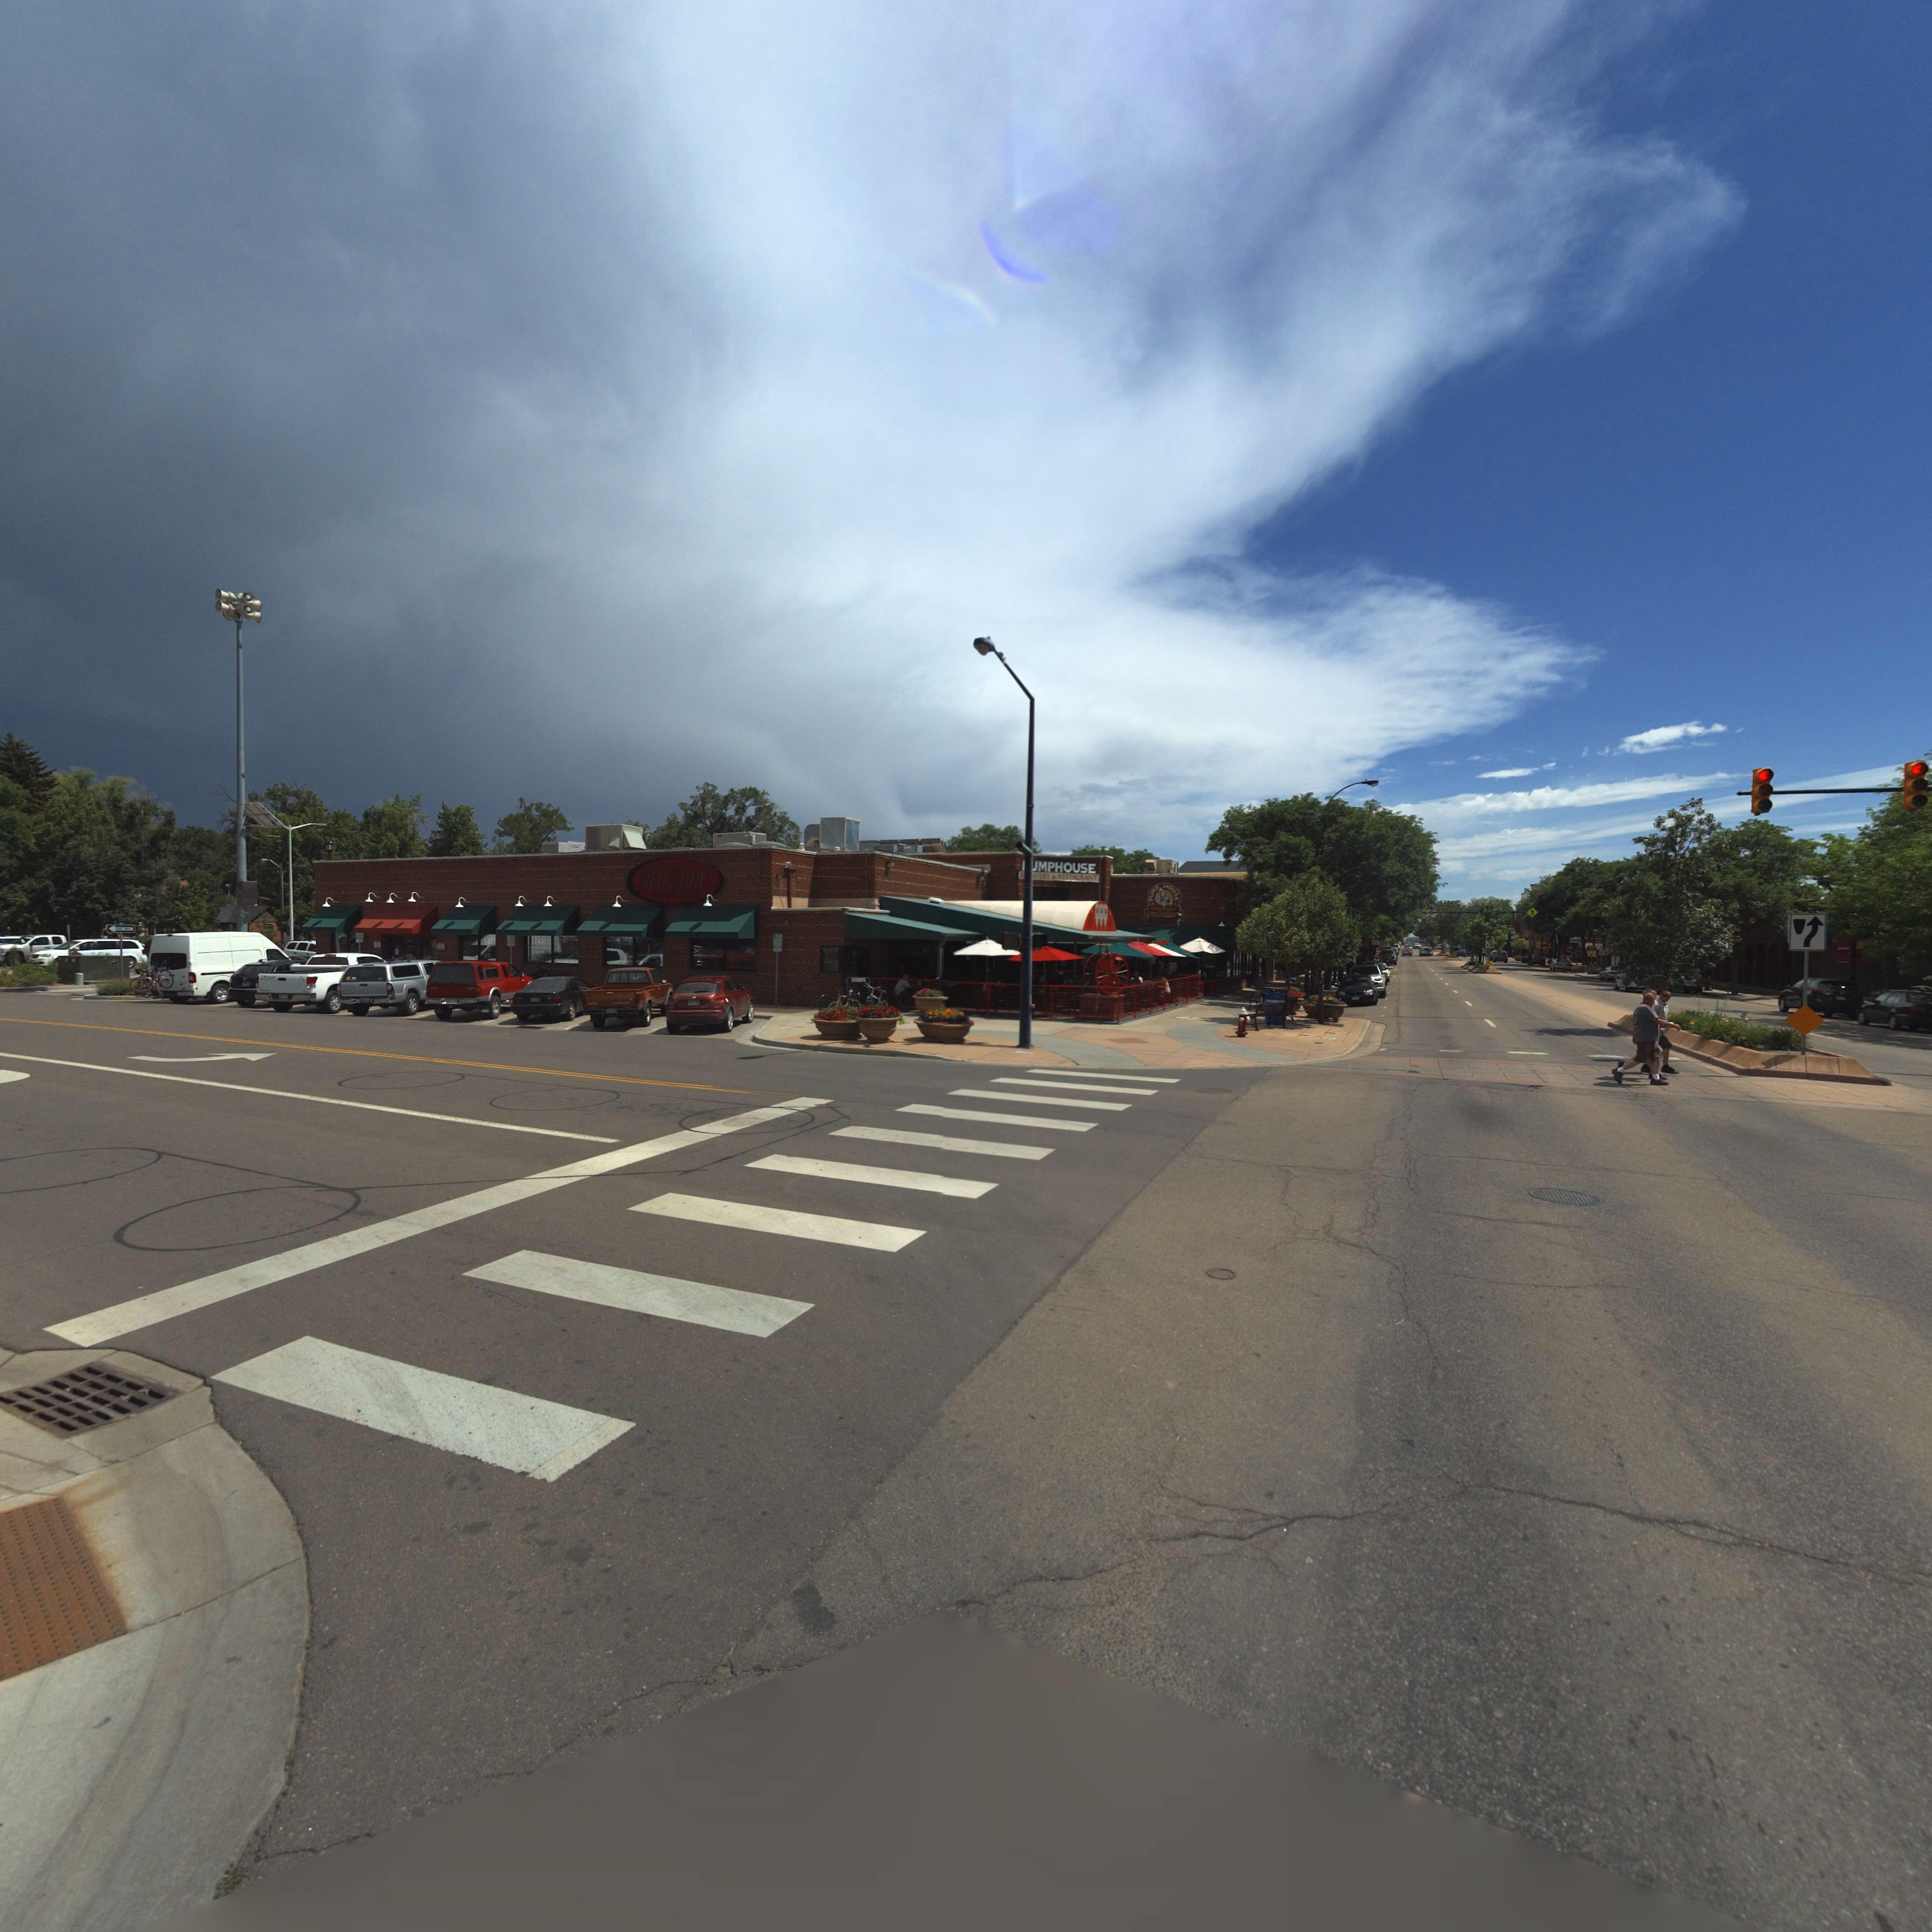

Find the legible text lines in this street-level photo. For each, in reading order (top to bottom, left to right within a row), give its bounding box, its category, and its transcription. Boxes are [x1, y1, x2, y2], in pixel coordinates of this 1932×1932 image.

[1022, 861, 1095, 873] BusinessName: I JMPHOUSE
[1020, 871, 1098, 880] BusinessName: B**WERY & RESTAURANT
[1149, 883, 1179, 901] BusinessName: PUMP HOUSE
[1150, 906, 1177, 911] BusinessName: BR***RY